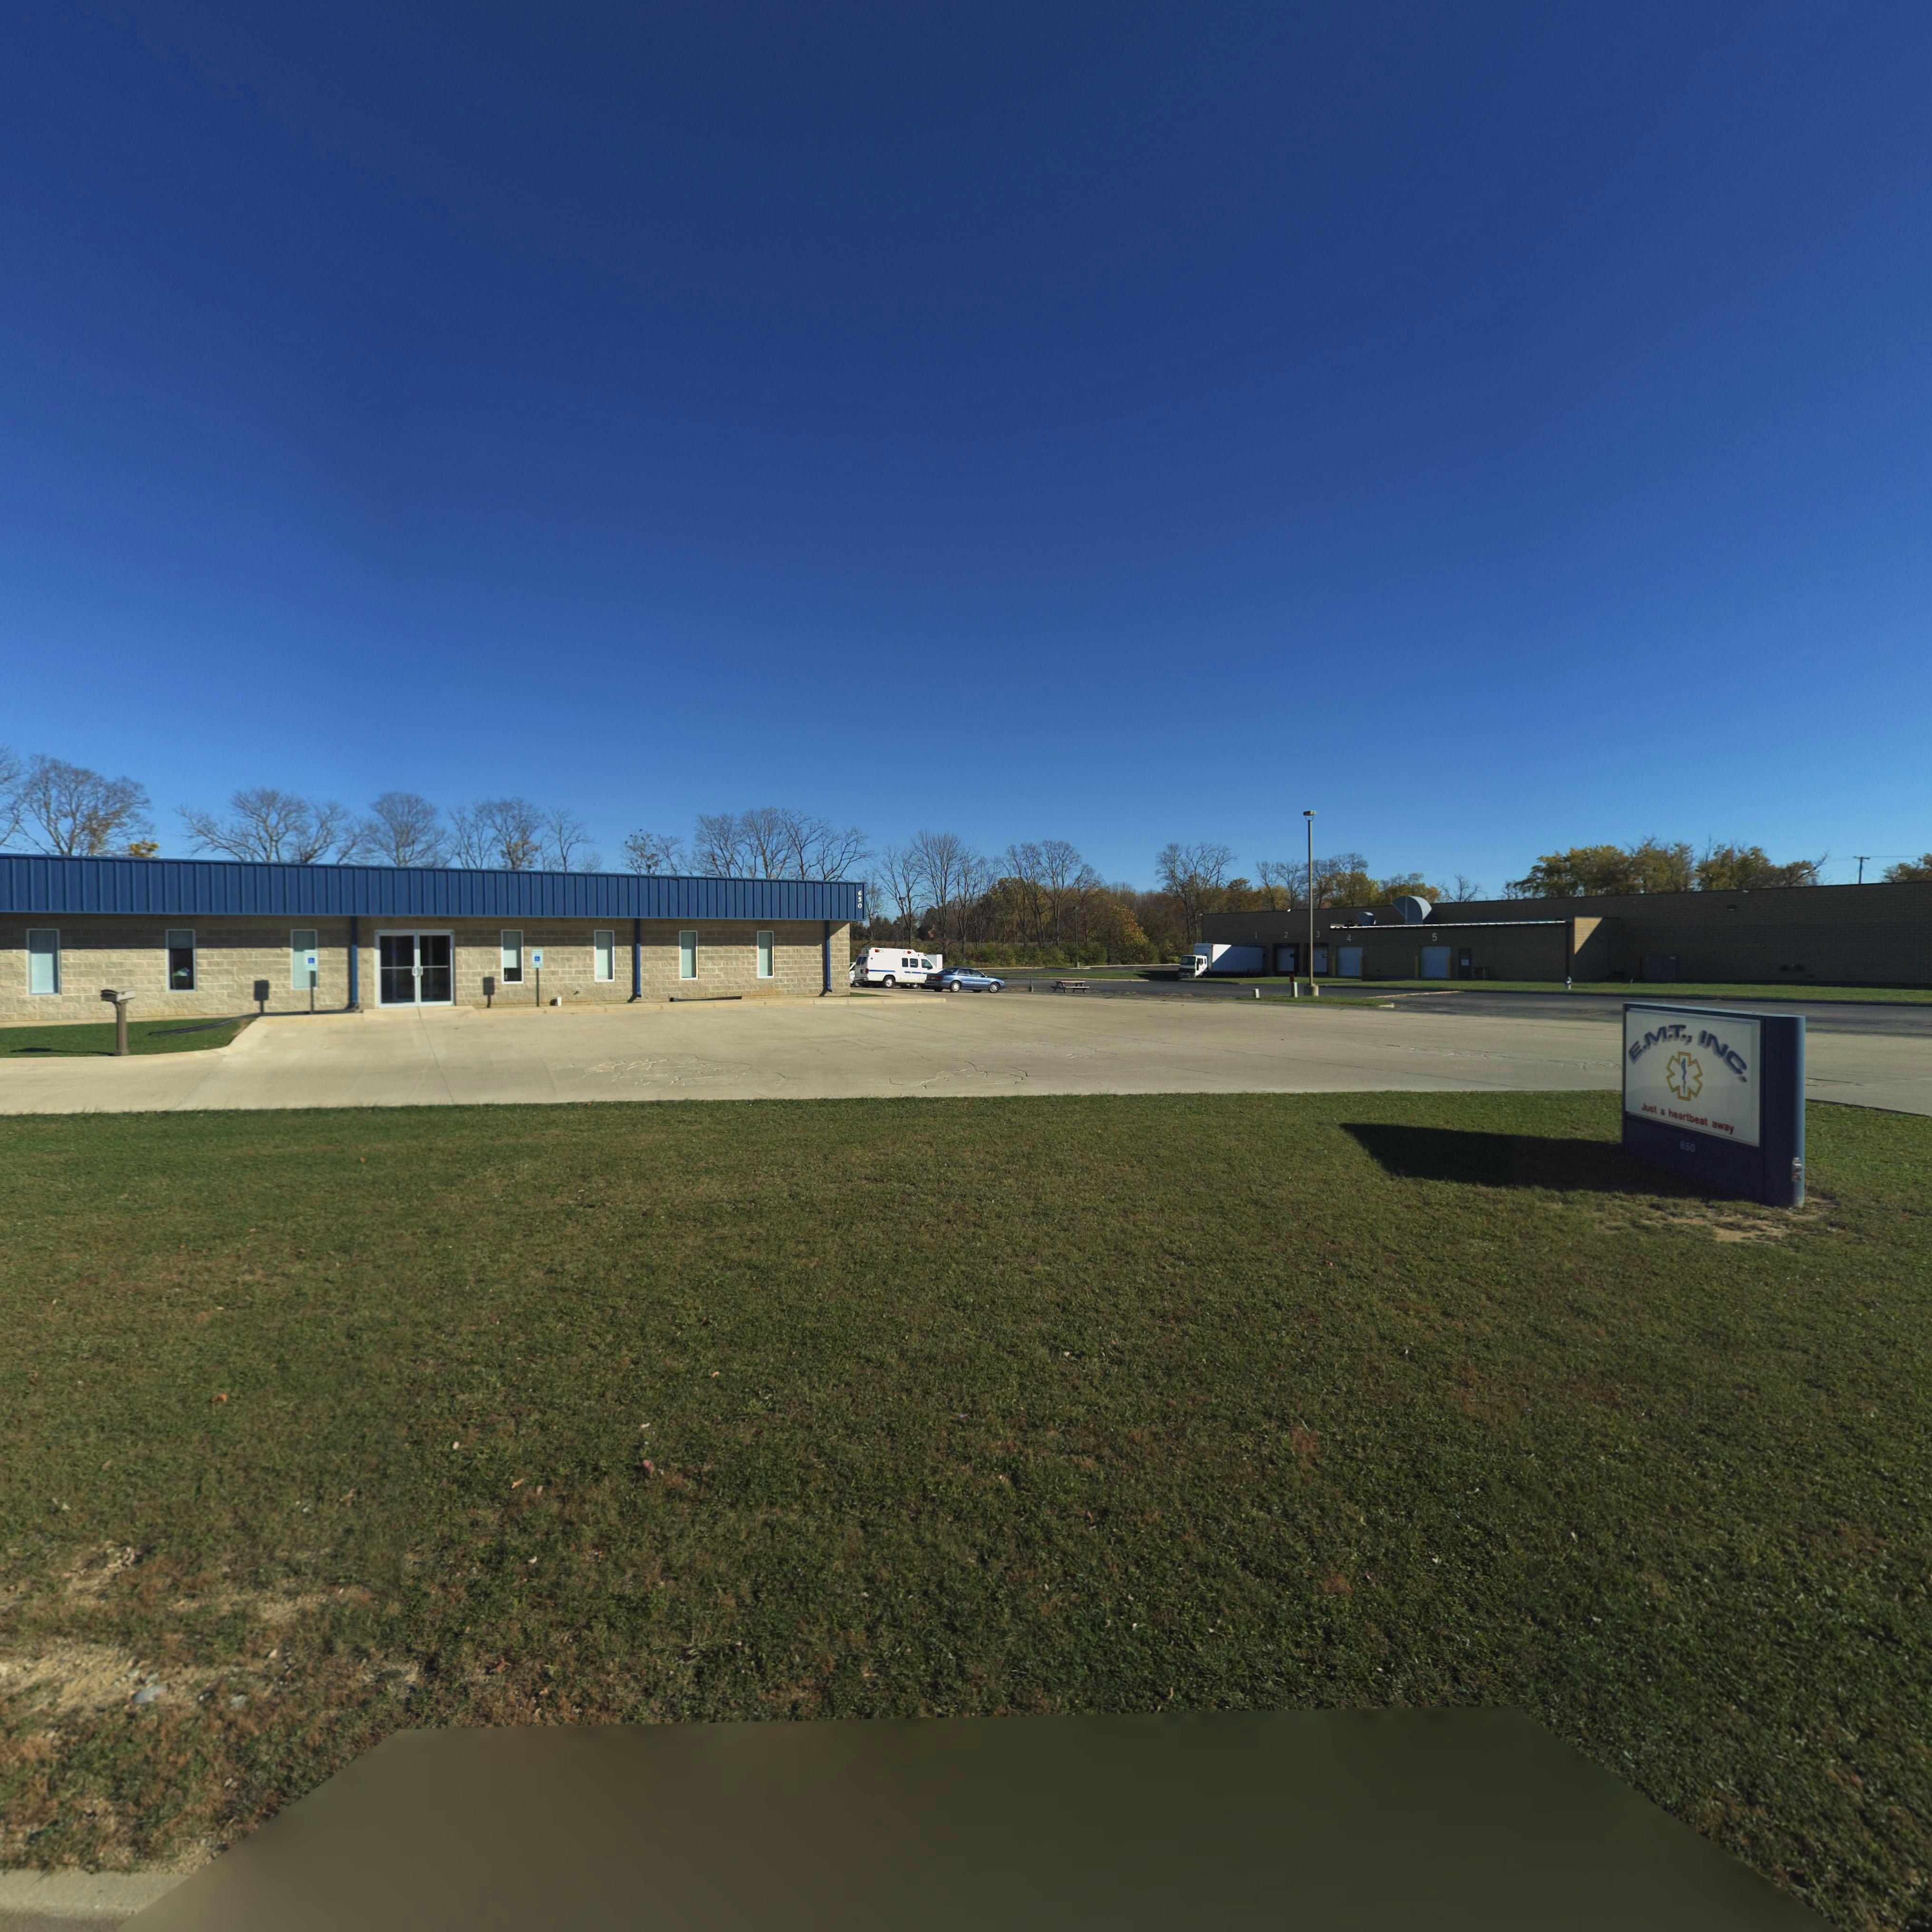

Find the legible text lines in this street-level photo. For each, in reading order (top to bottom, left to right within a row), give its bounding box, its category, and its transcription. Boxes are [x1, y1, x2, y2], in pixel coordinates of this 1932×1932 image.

[857, 890, 862, 908] StreetNumber: 650
[1679, 1140, 1697, 1153] StreetNumber: 65